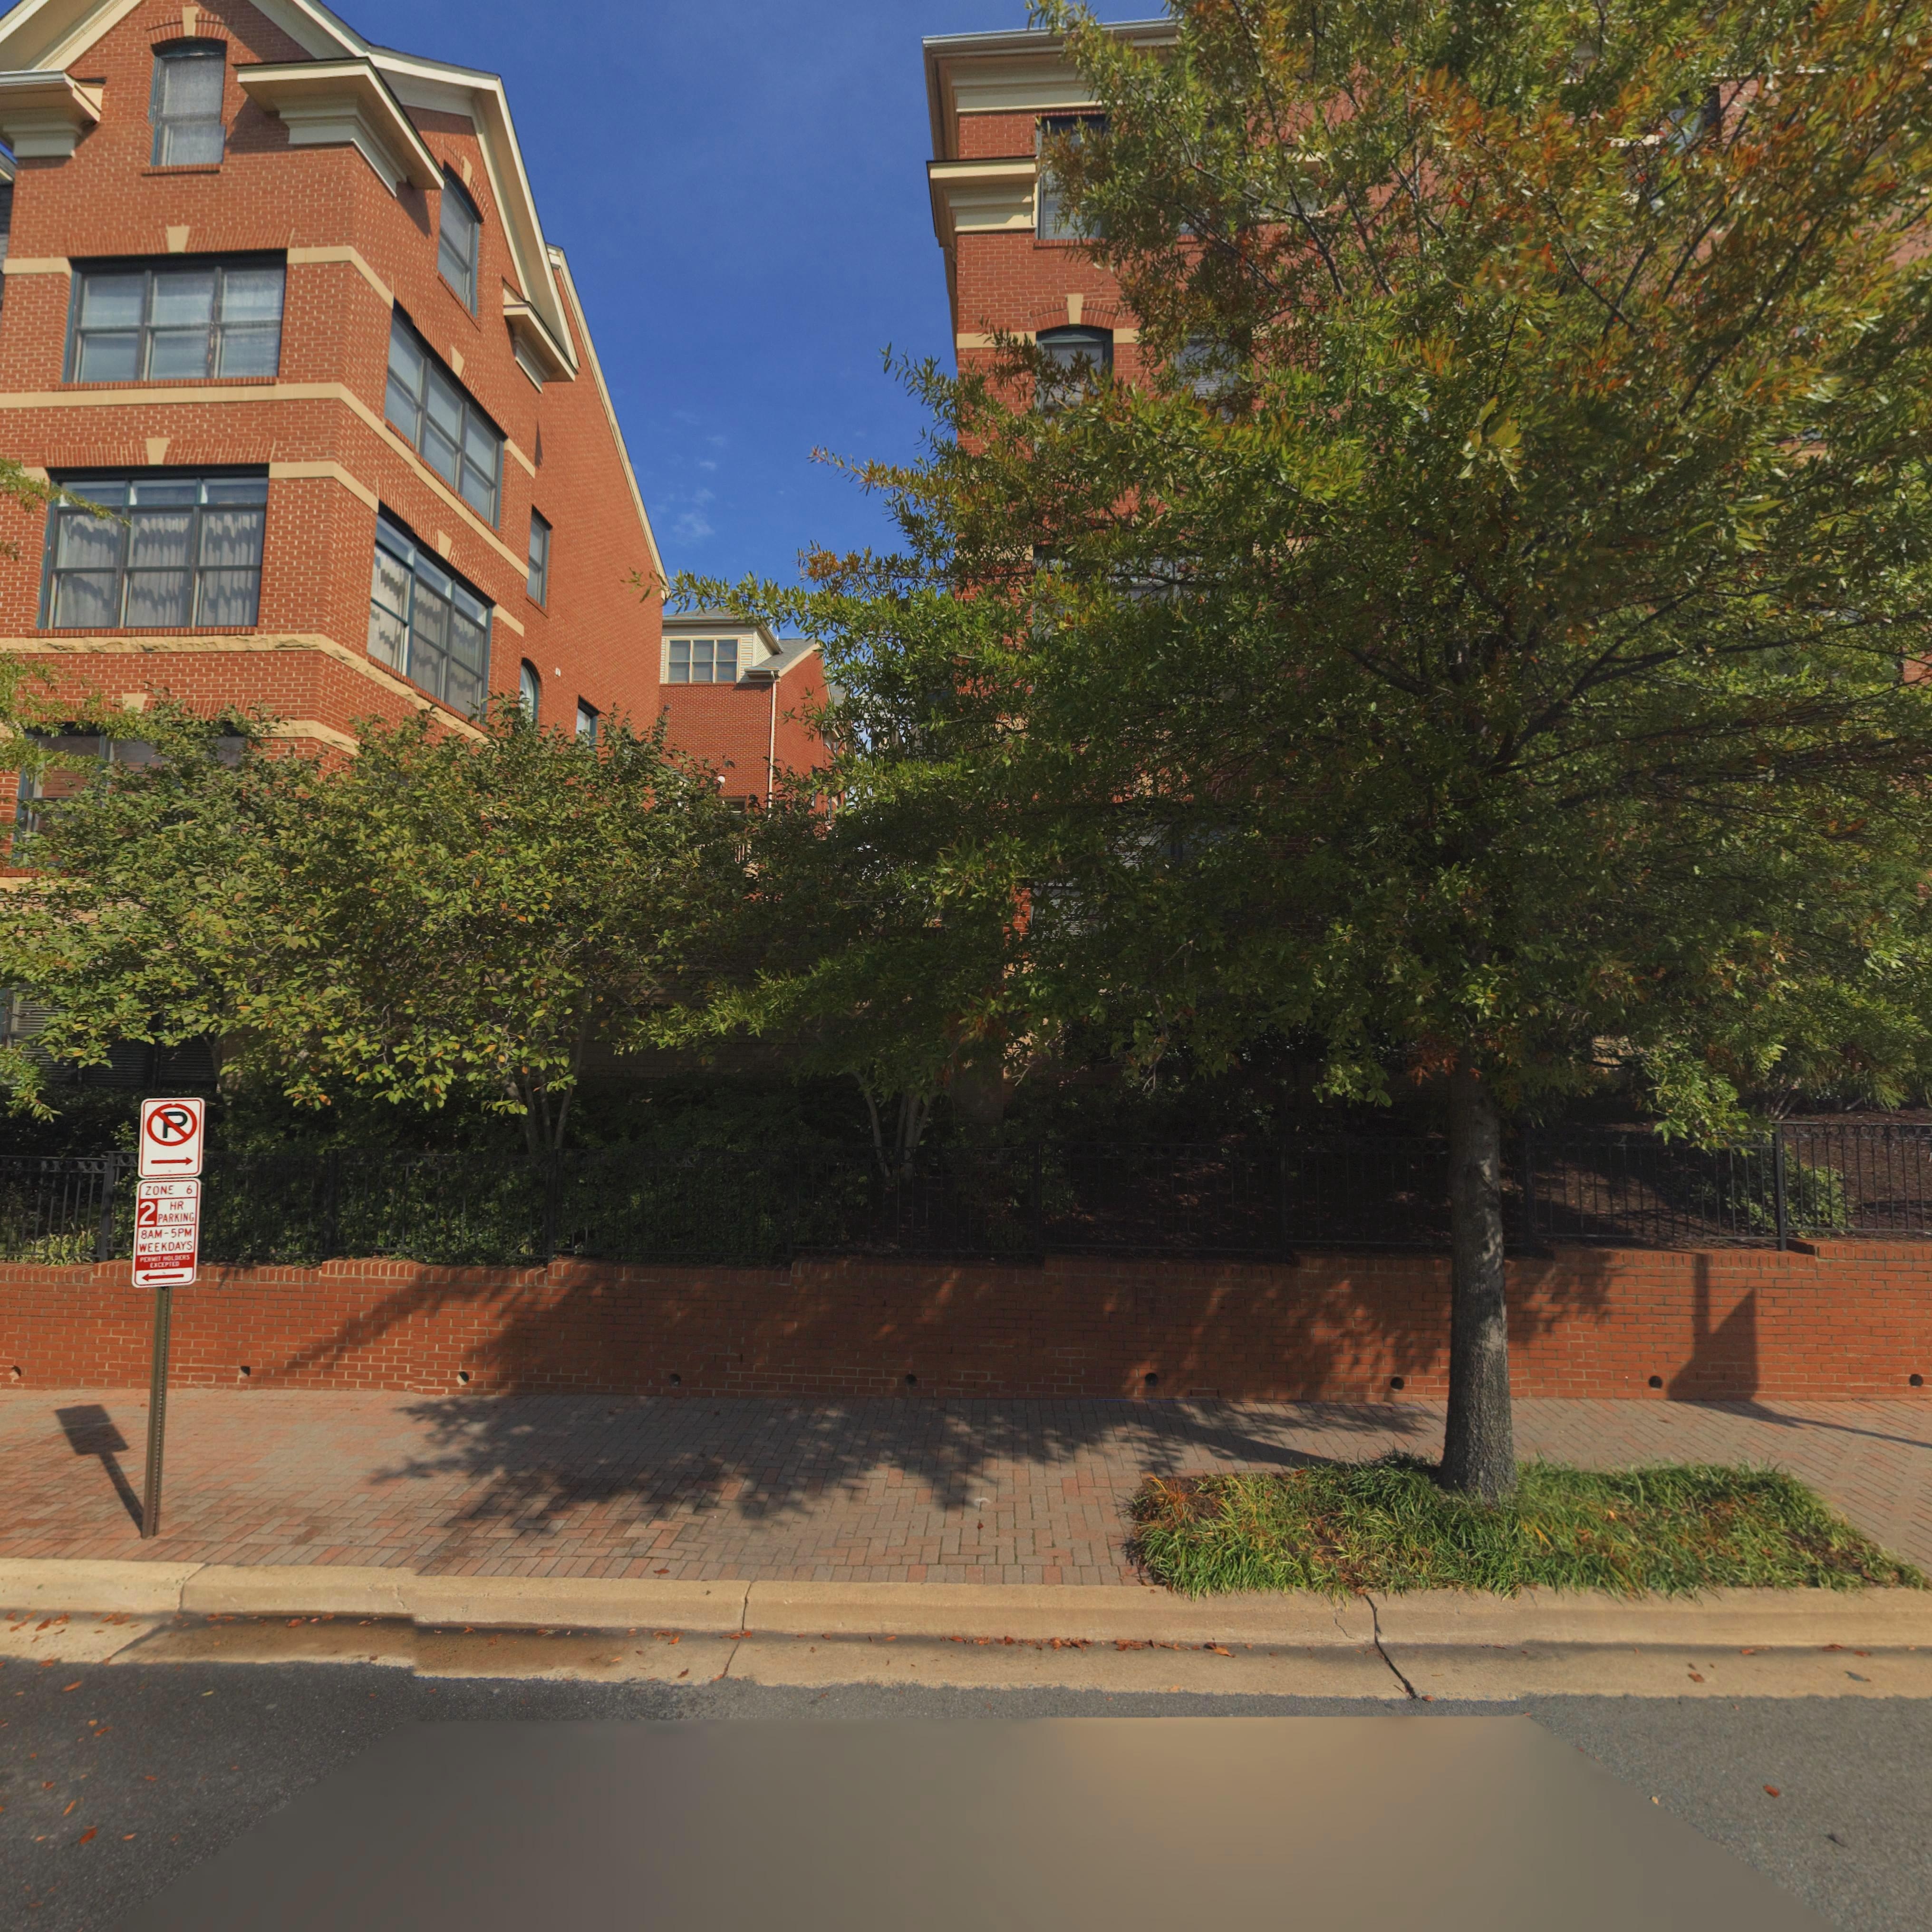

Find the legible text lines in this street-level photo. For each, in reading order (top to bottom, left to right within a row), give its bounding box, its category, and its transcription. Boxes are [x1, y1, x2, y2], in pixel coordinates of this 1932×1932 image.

[145, 1184, 193, 1196] None: ZONE 6
[169, 1200, 184, 1211] None: HR
[138, 1201, 156, 1226] None: 2
[157, 1212, 195, 1224] None: PARKING
[141, 1227, 192, 1239] None: 8AM-5PM
[138, 1241, 193, 1253] None: WEEKDAYS
[139, 1255, 190, 1263] None: P**MIT HOLDERS
[149, 1261, 180, 1268] None: EXCEPTED